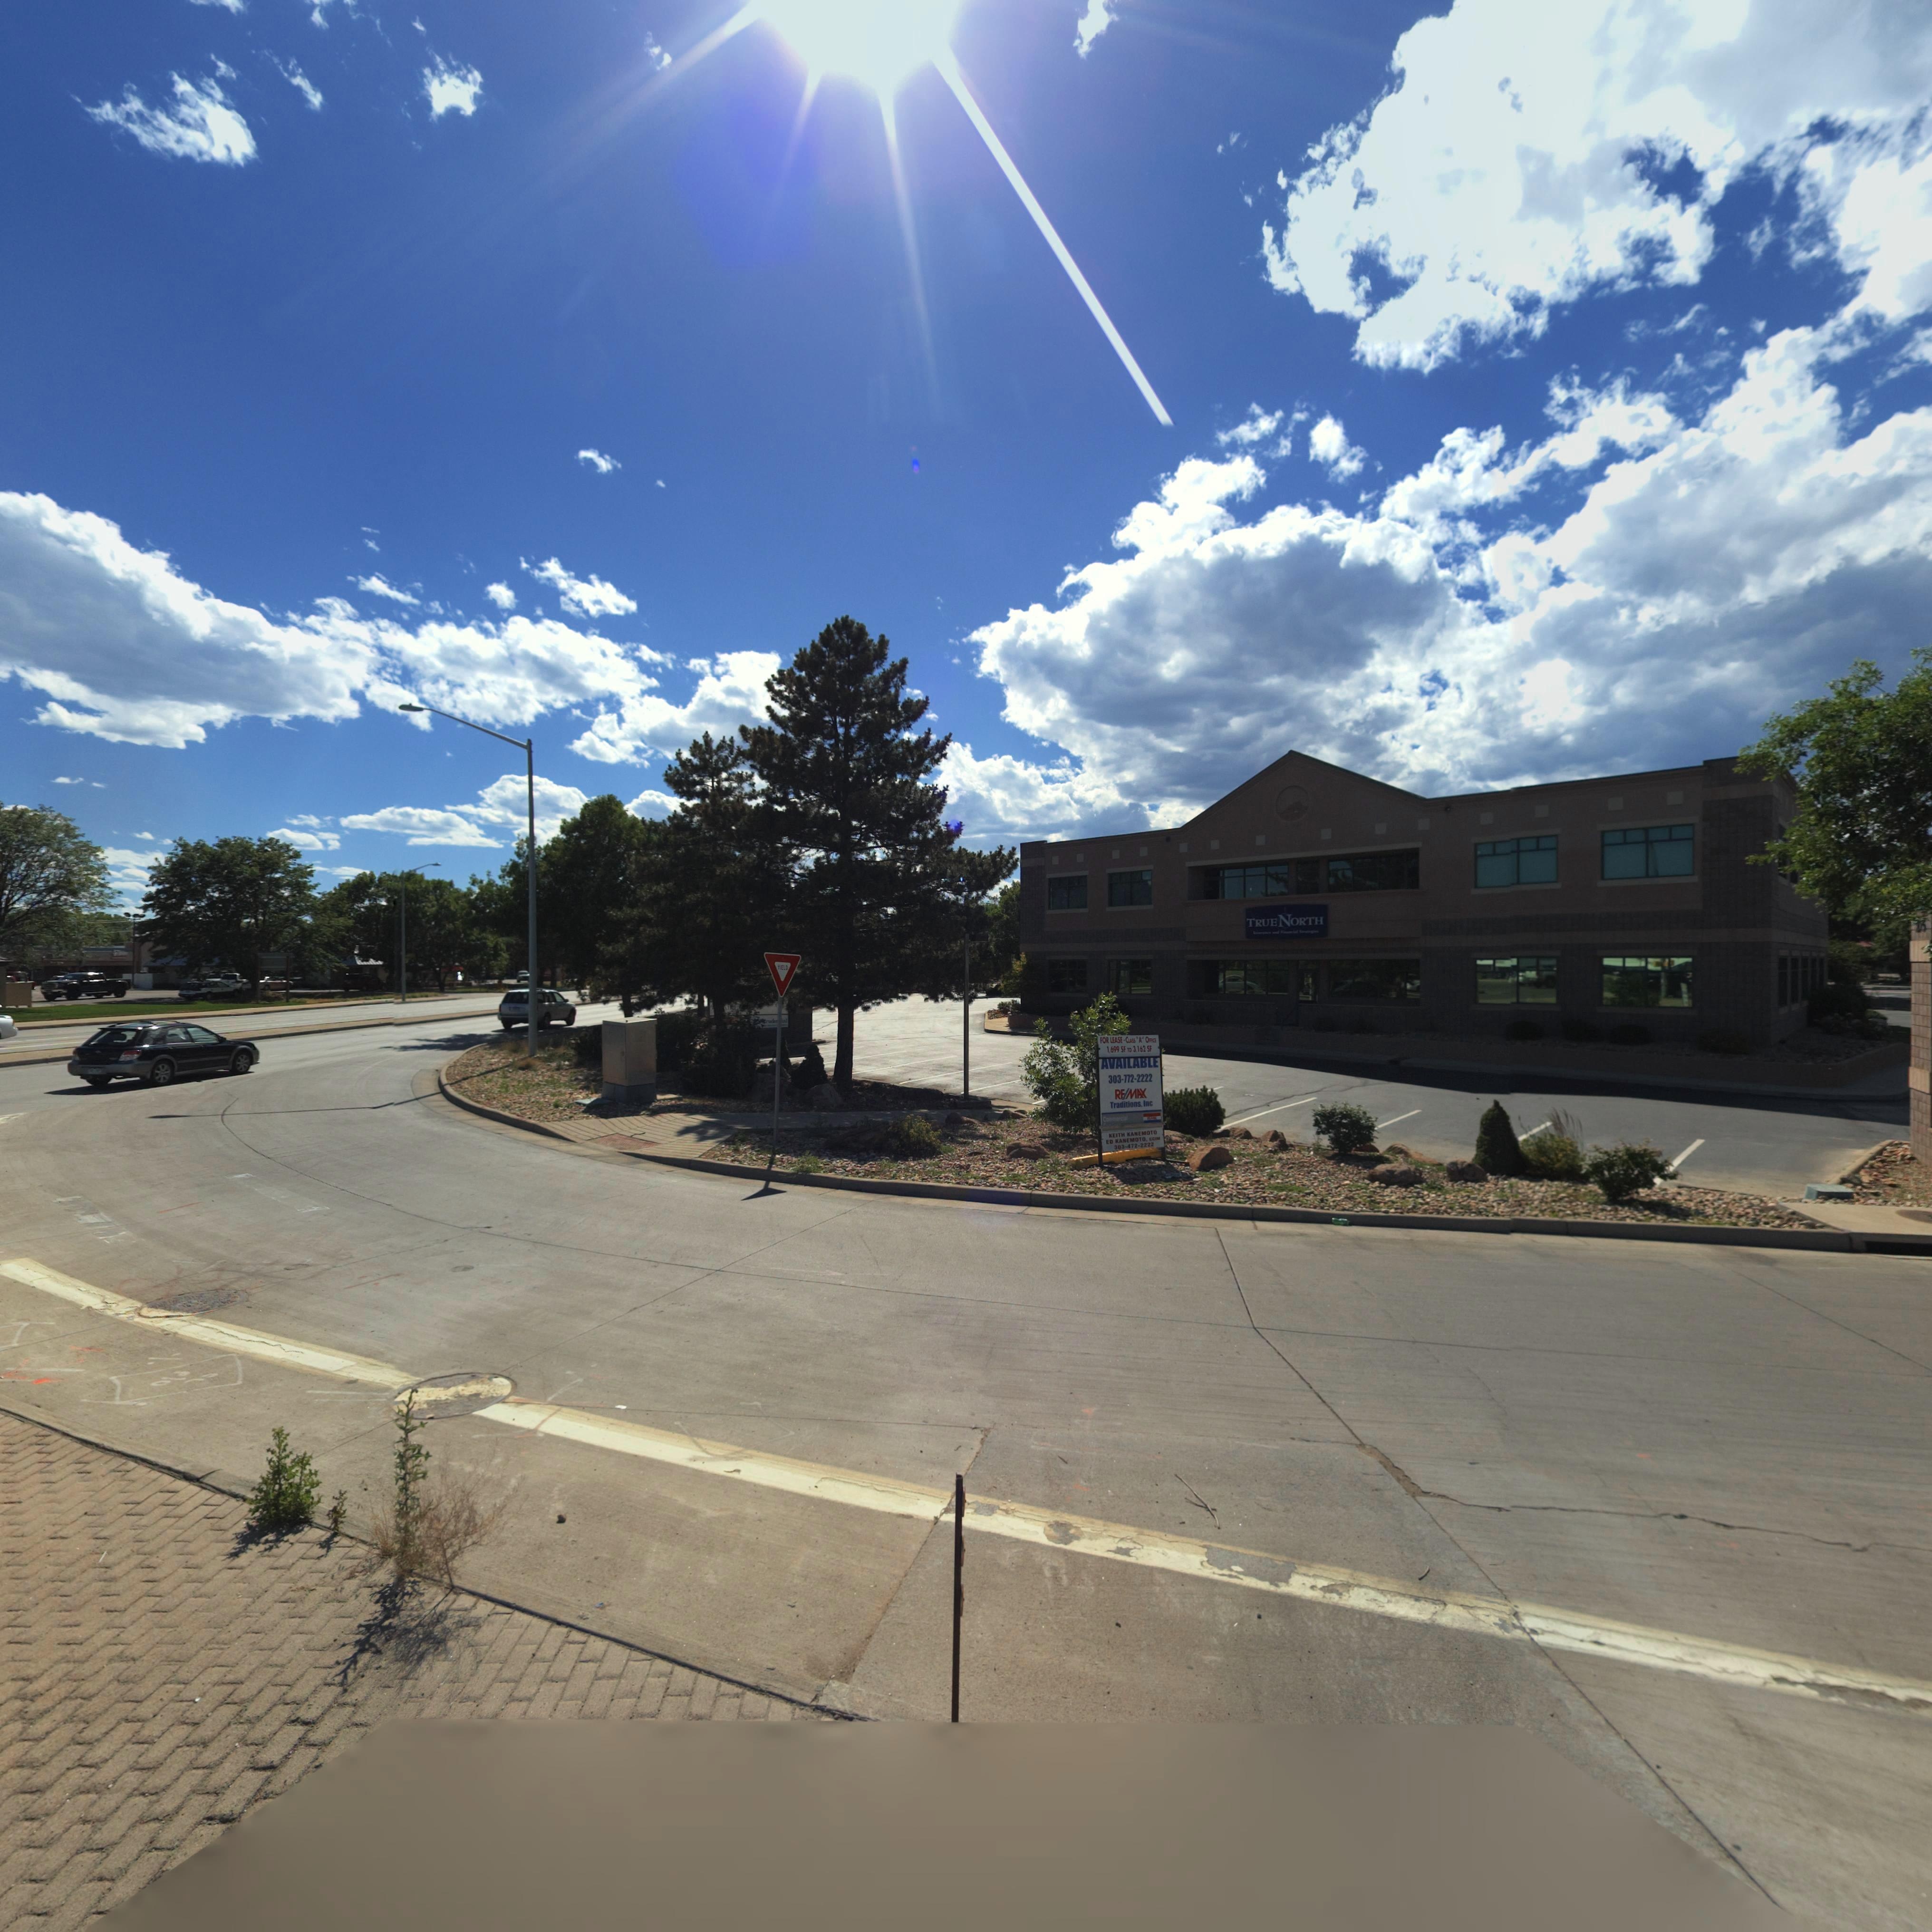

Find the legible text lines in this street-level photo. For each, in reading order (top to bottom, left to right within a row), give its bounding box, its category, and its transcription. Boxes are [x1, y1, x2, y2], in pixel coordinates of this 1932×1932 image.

[1246, 913, 1324, 927] BusinessName: TRUE NORTH
[753, 1015, 788, 1024] BusinessName: ***de**al